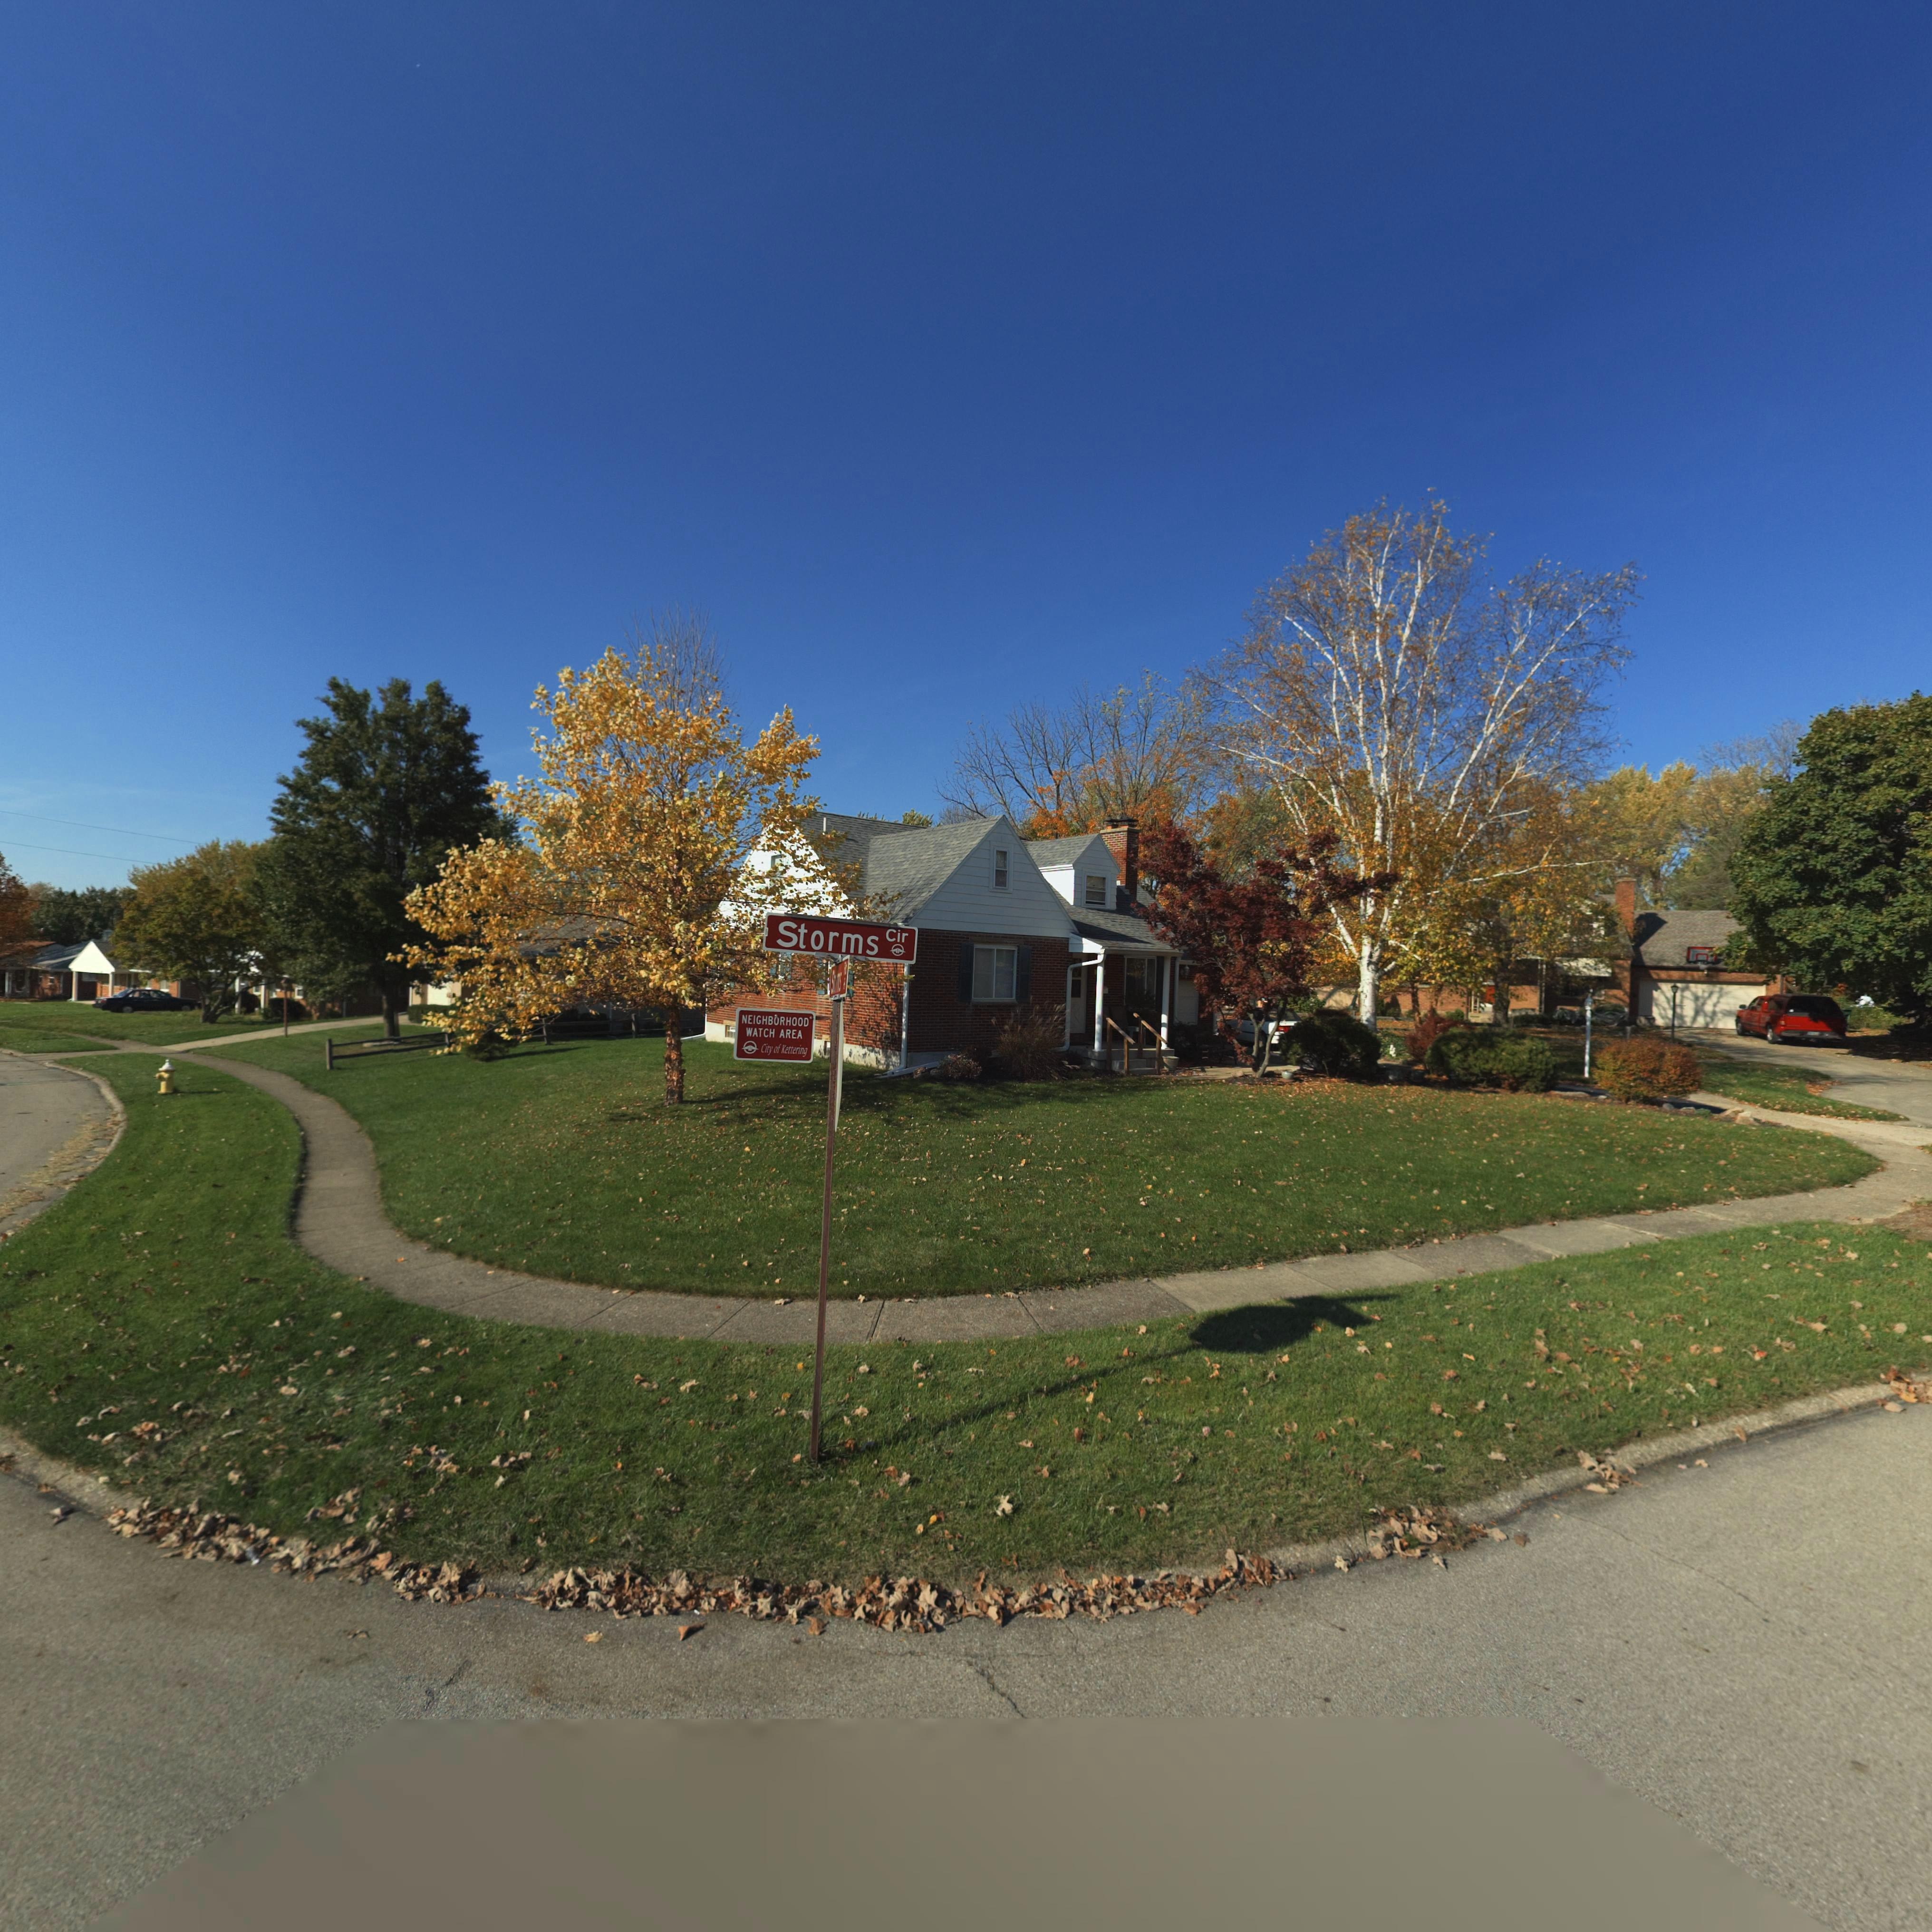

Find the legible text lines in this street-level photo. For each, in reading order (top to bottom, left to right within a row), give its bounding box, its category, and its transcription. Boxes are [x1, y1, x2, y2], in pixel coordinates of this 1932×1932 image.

[775, 920, 909, 956] StreetName: Storms Cir
[741, 1014, 809, 1027] None: NEIGHBORHOOD
[745, 1027, 803, 1039] None: WATCH AREA
[761, 1043, 808, 1058] None: City of Kettering